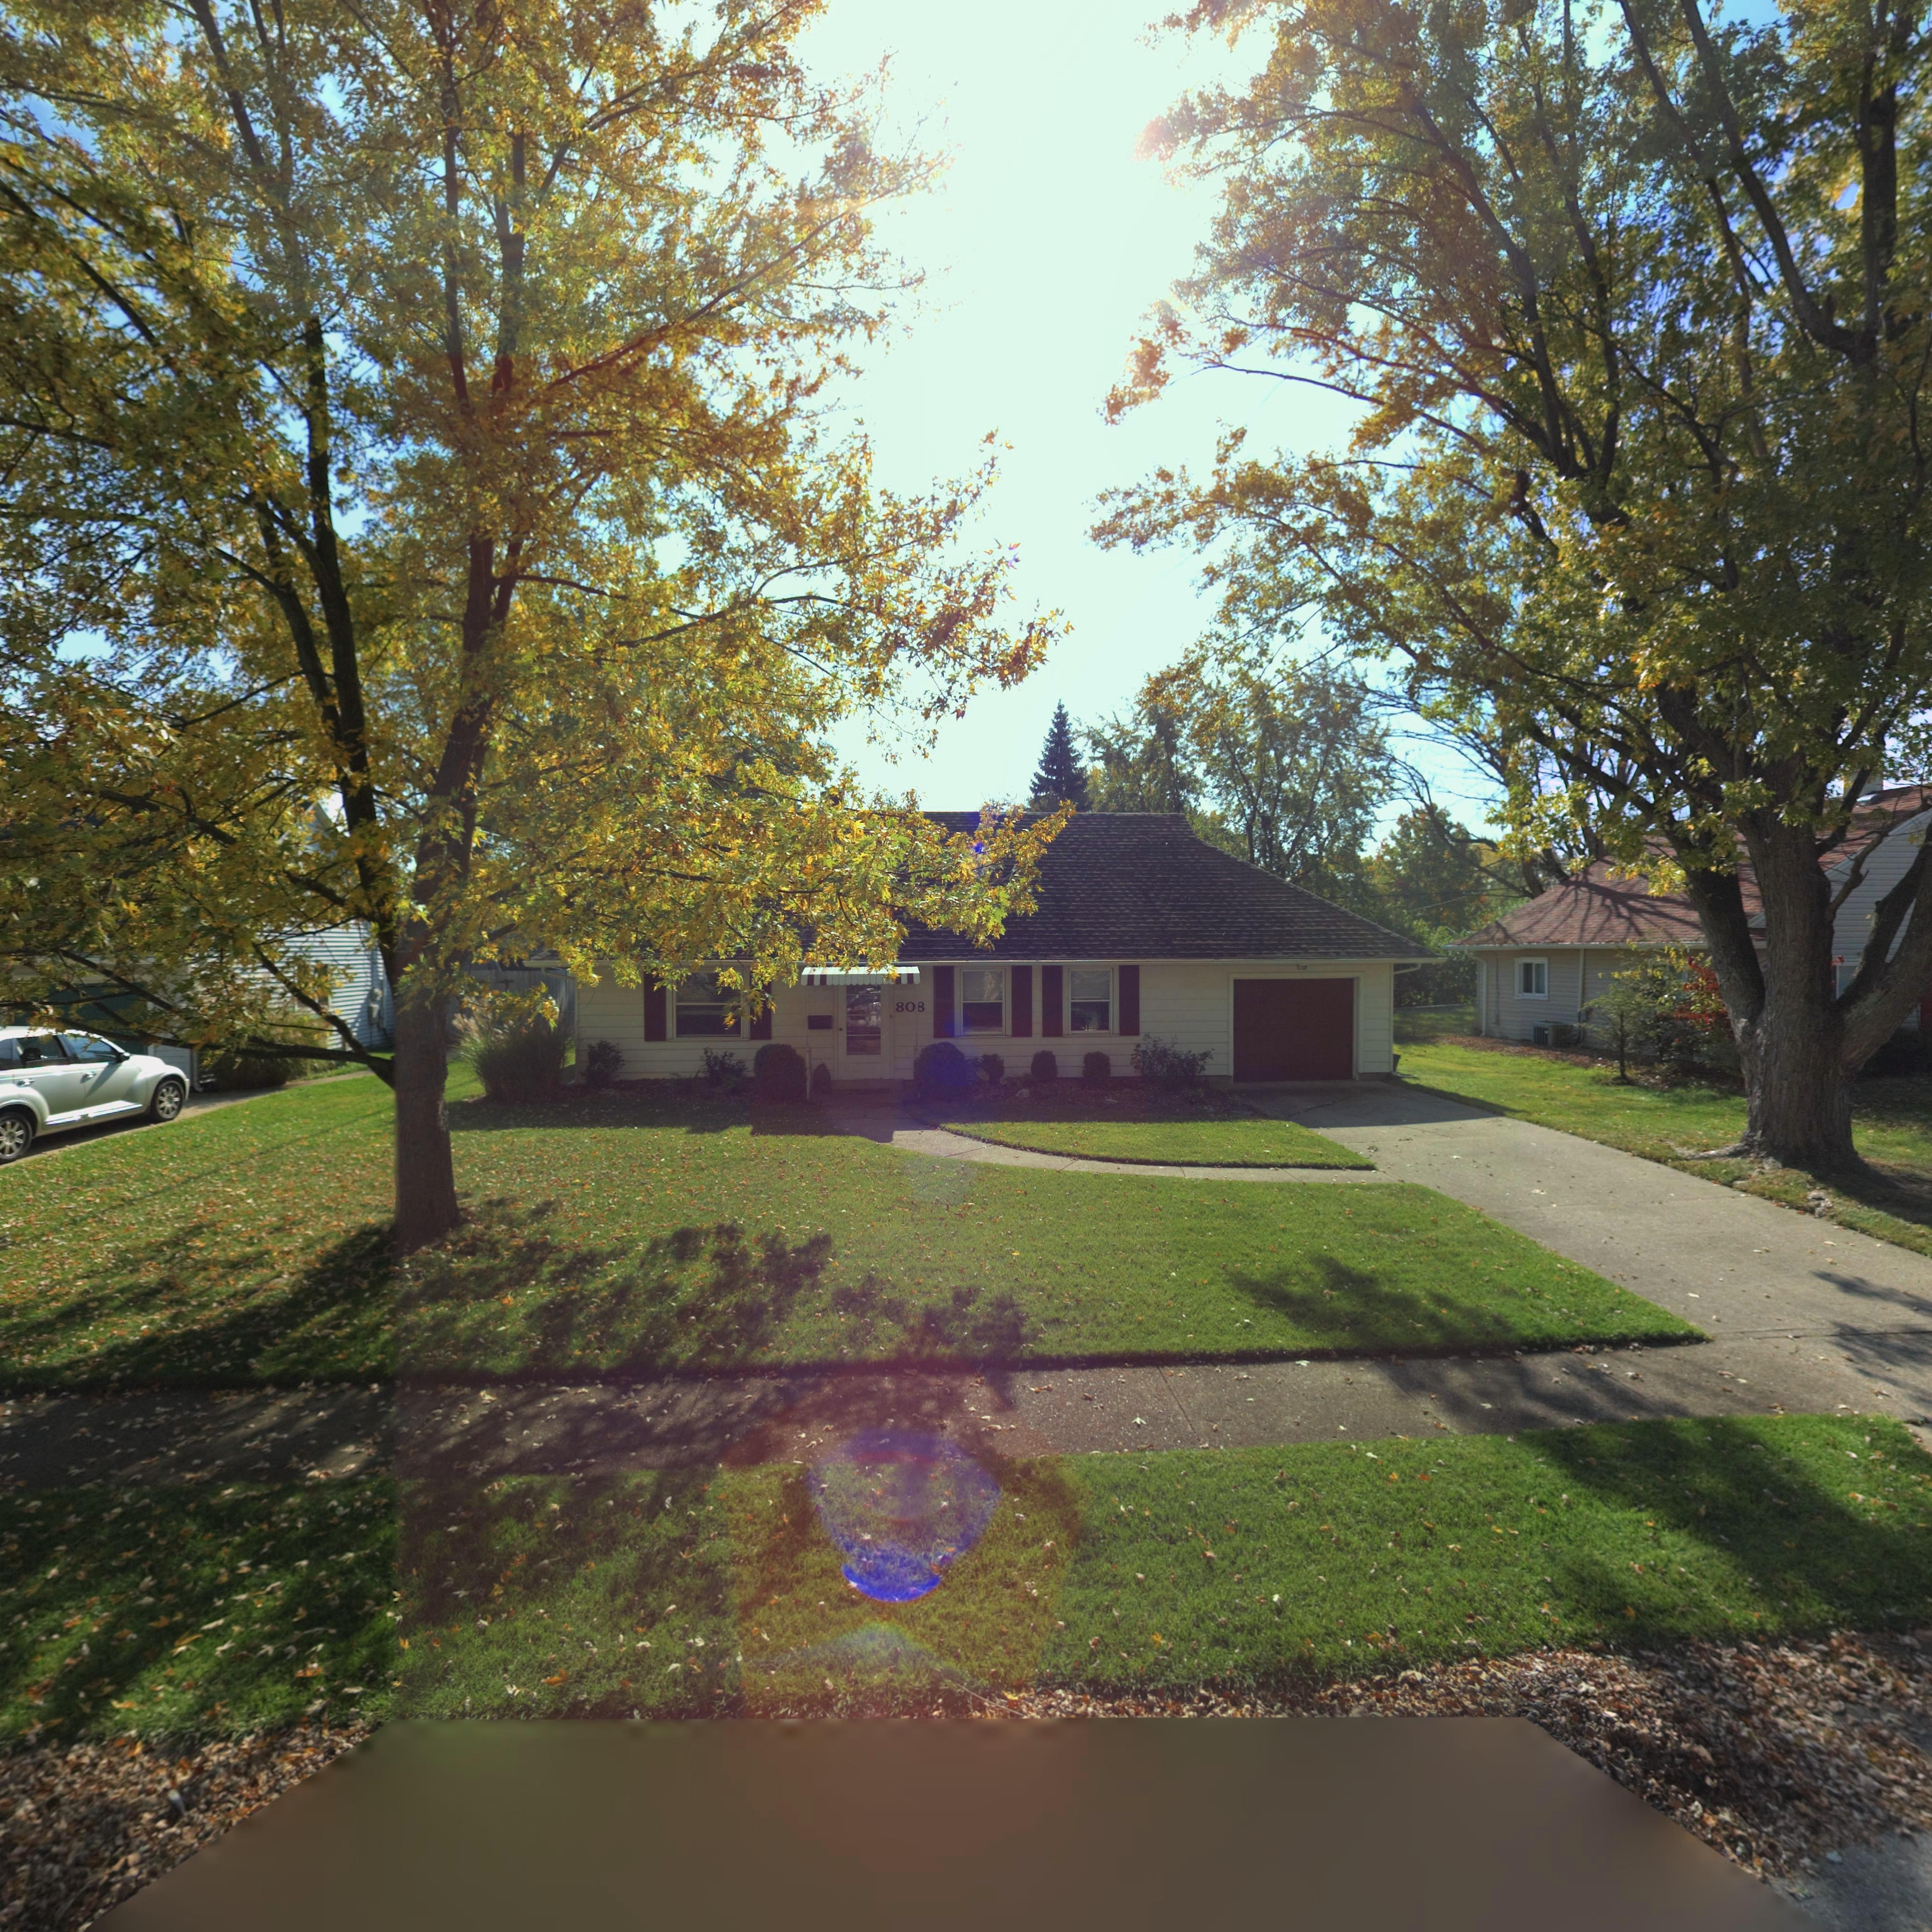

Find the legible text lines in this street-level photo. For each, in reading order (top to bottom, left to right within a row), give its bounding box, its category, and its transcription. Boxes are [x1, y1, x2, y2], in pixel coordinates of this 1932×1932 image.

[895, 1001, 926, 1013] StreetNumber: 808